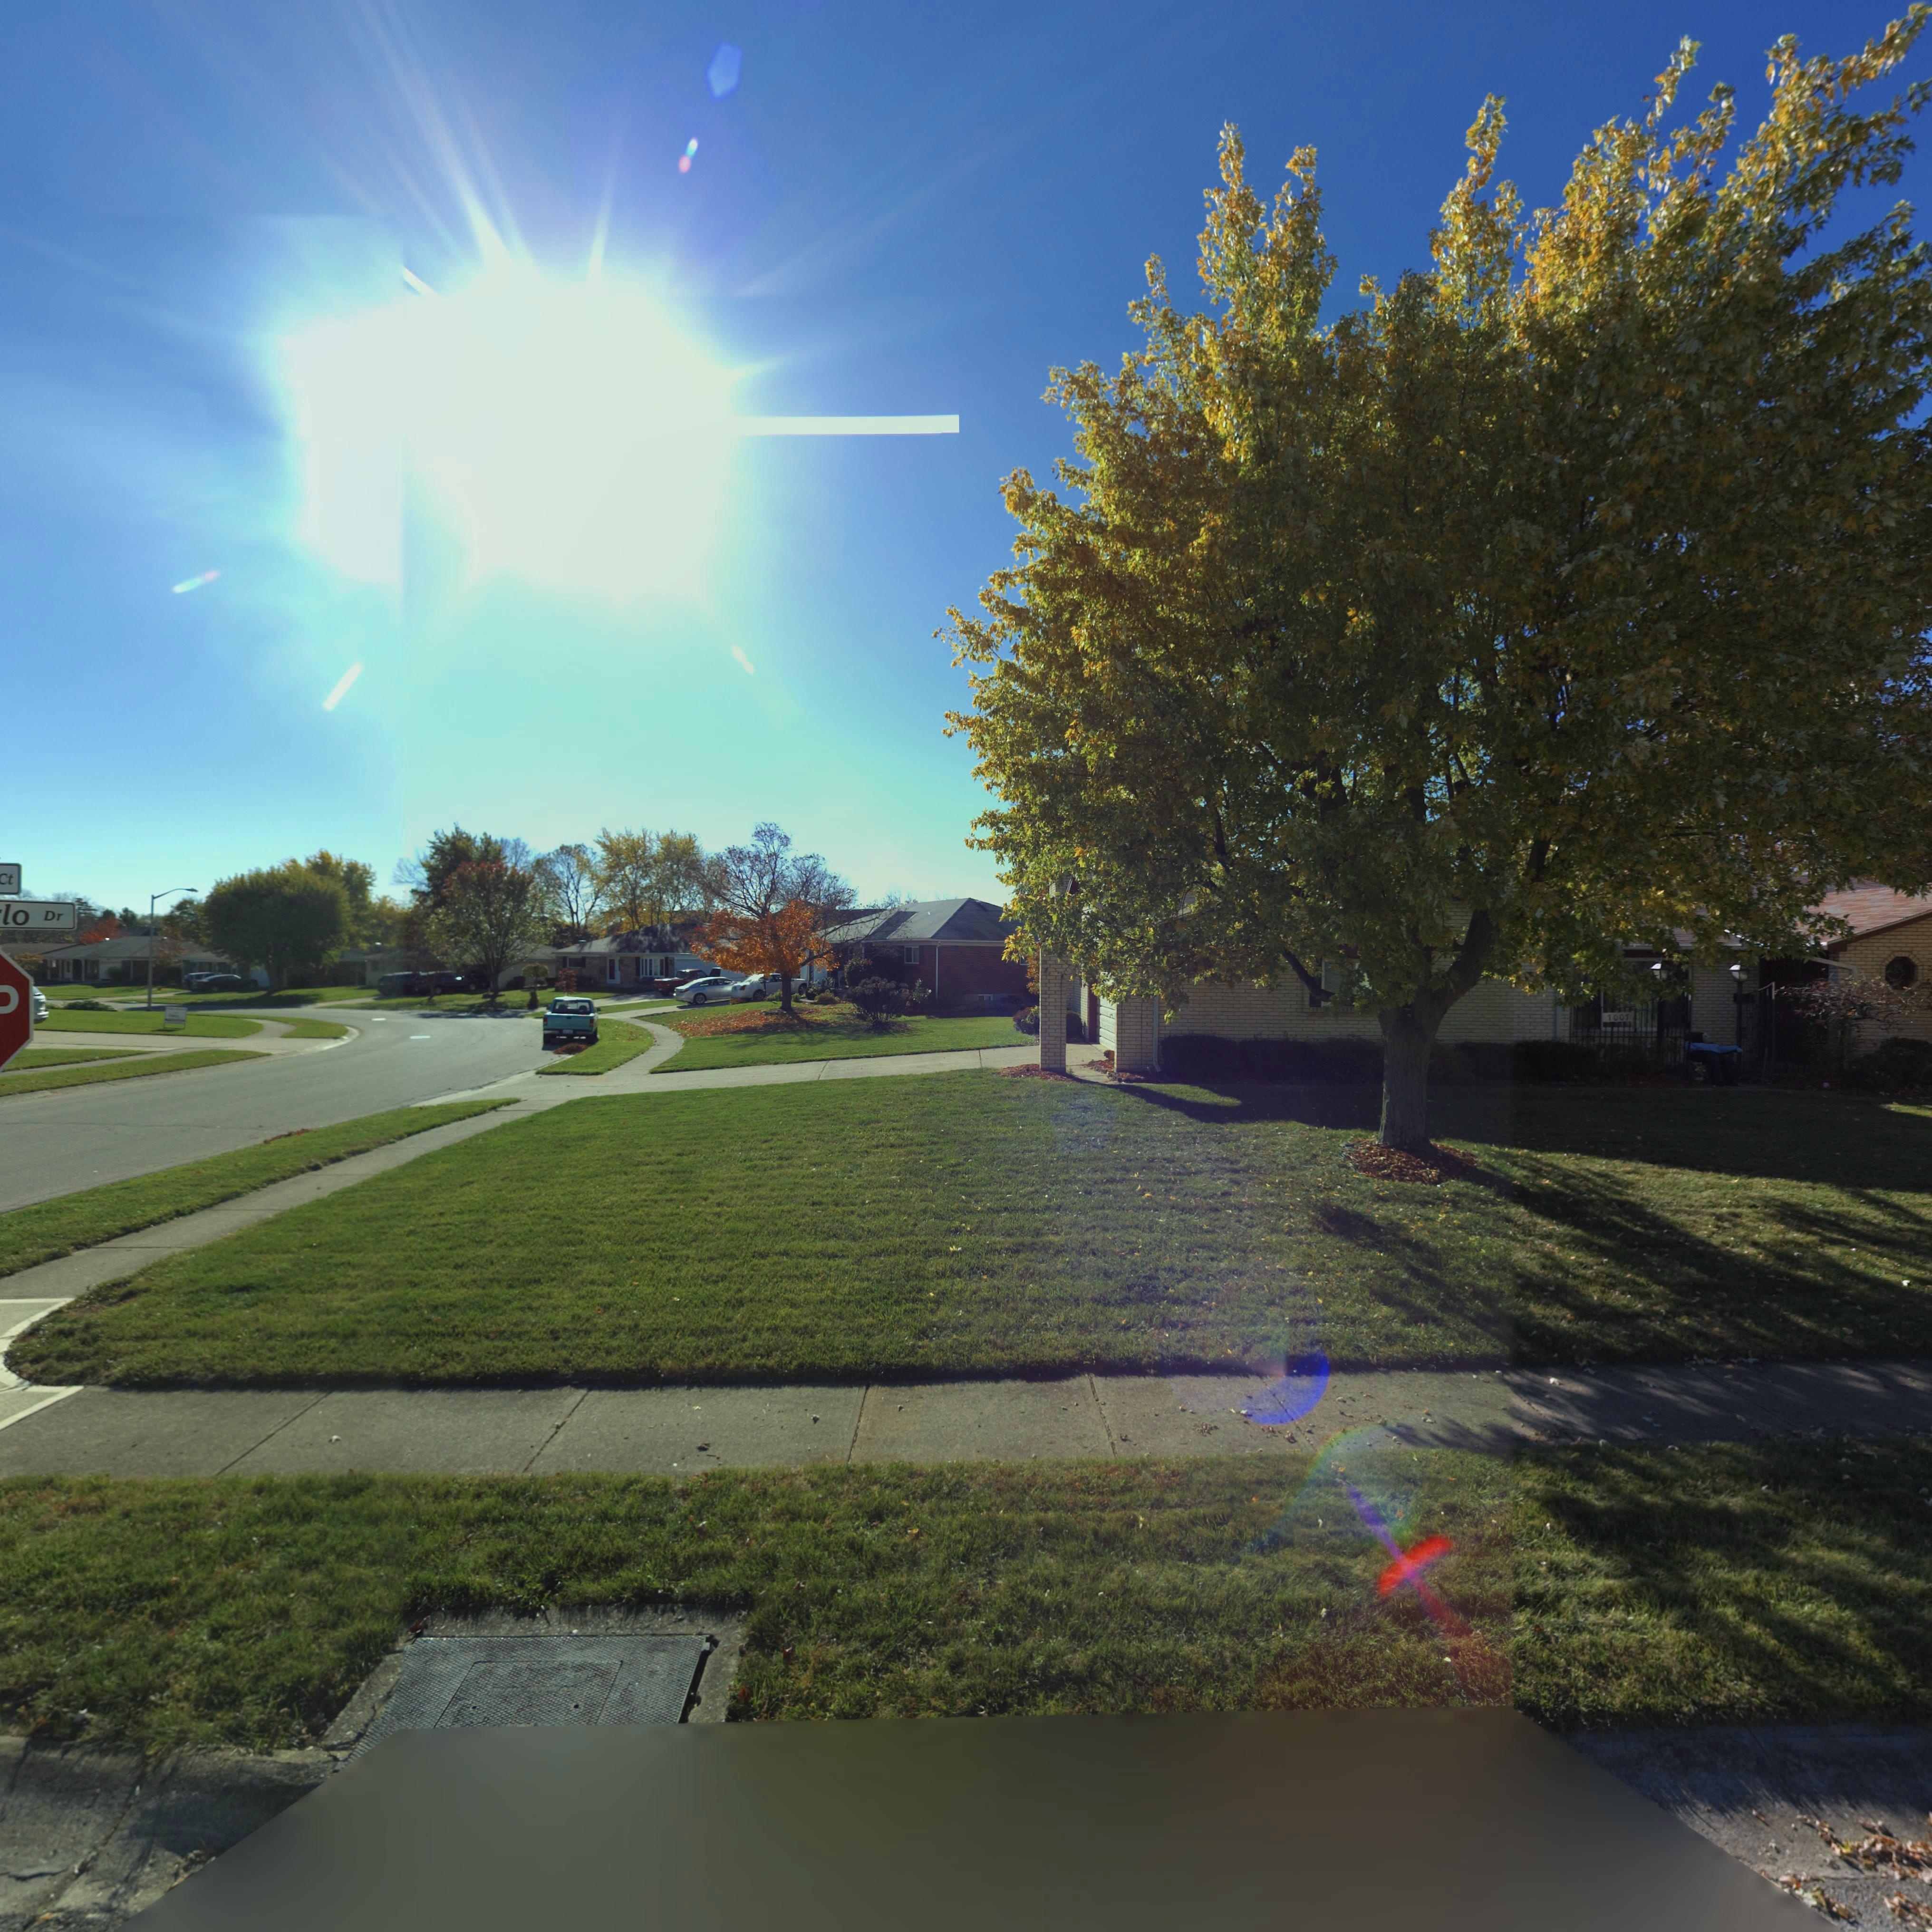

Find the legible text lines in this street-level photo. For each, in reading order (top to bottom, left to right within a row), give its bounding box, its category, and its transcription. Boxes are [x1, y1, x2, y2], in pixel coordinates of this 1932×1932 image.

[7, 872, 15, 886] StreetName: t
[1, 903, 66, 927] StreetName: lo Dr
[1606, 1013, 1631, 1022] StreetNumber: 7007